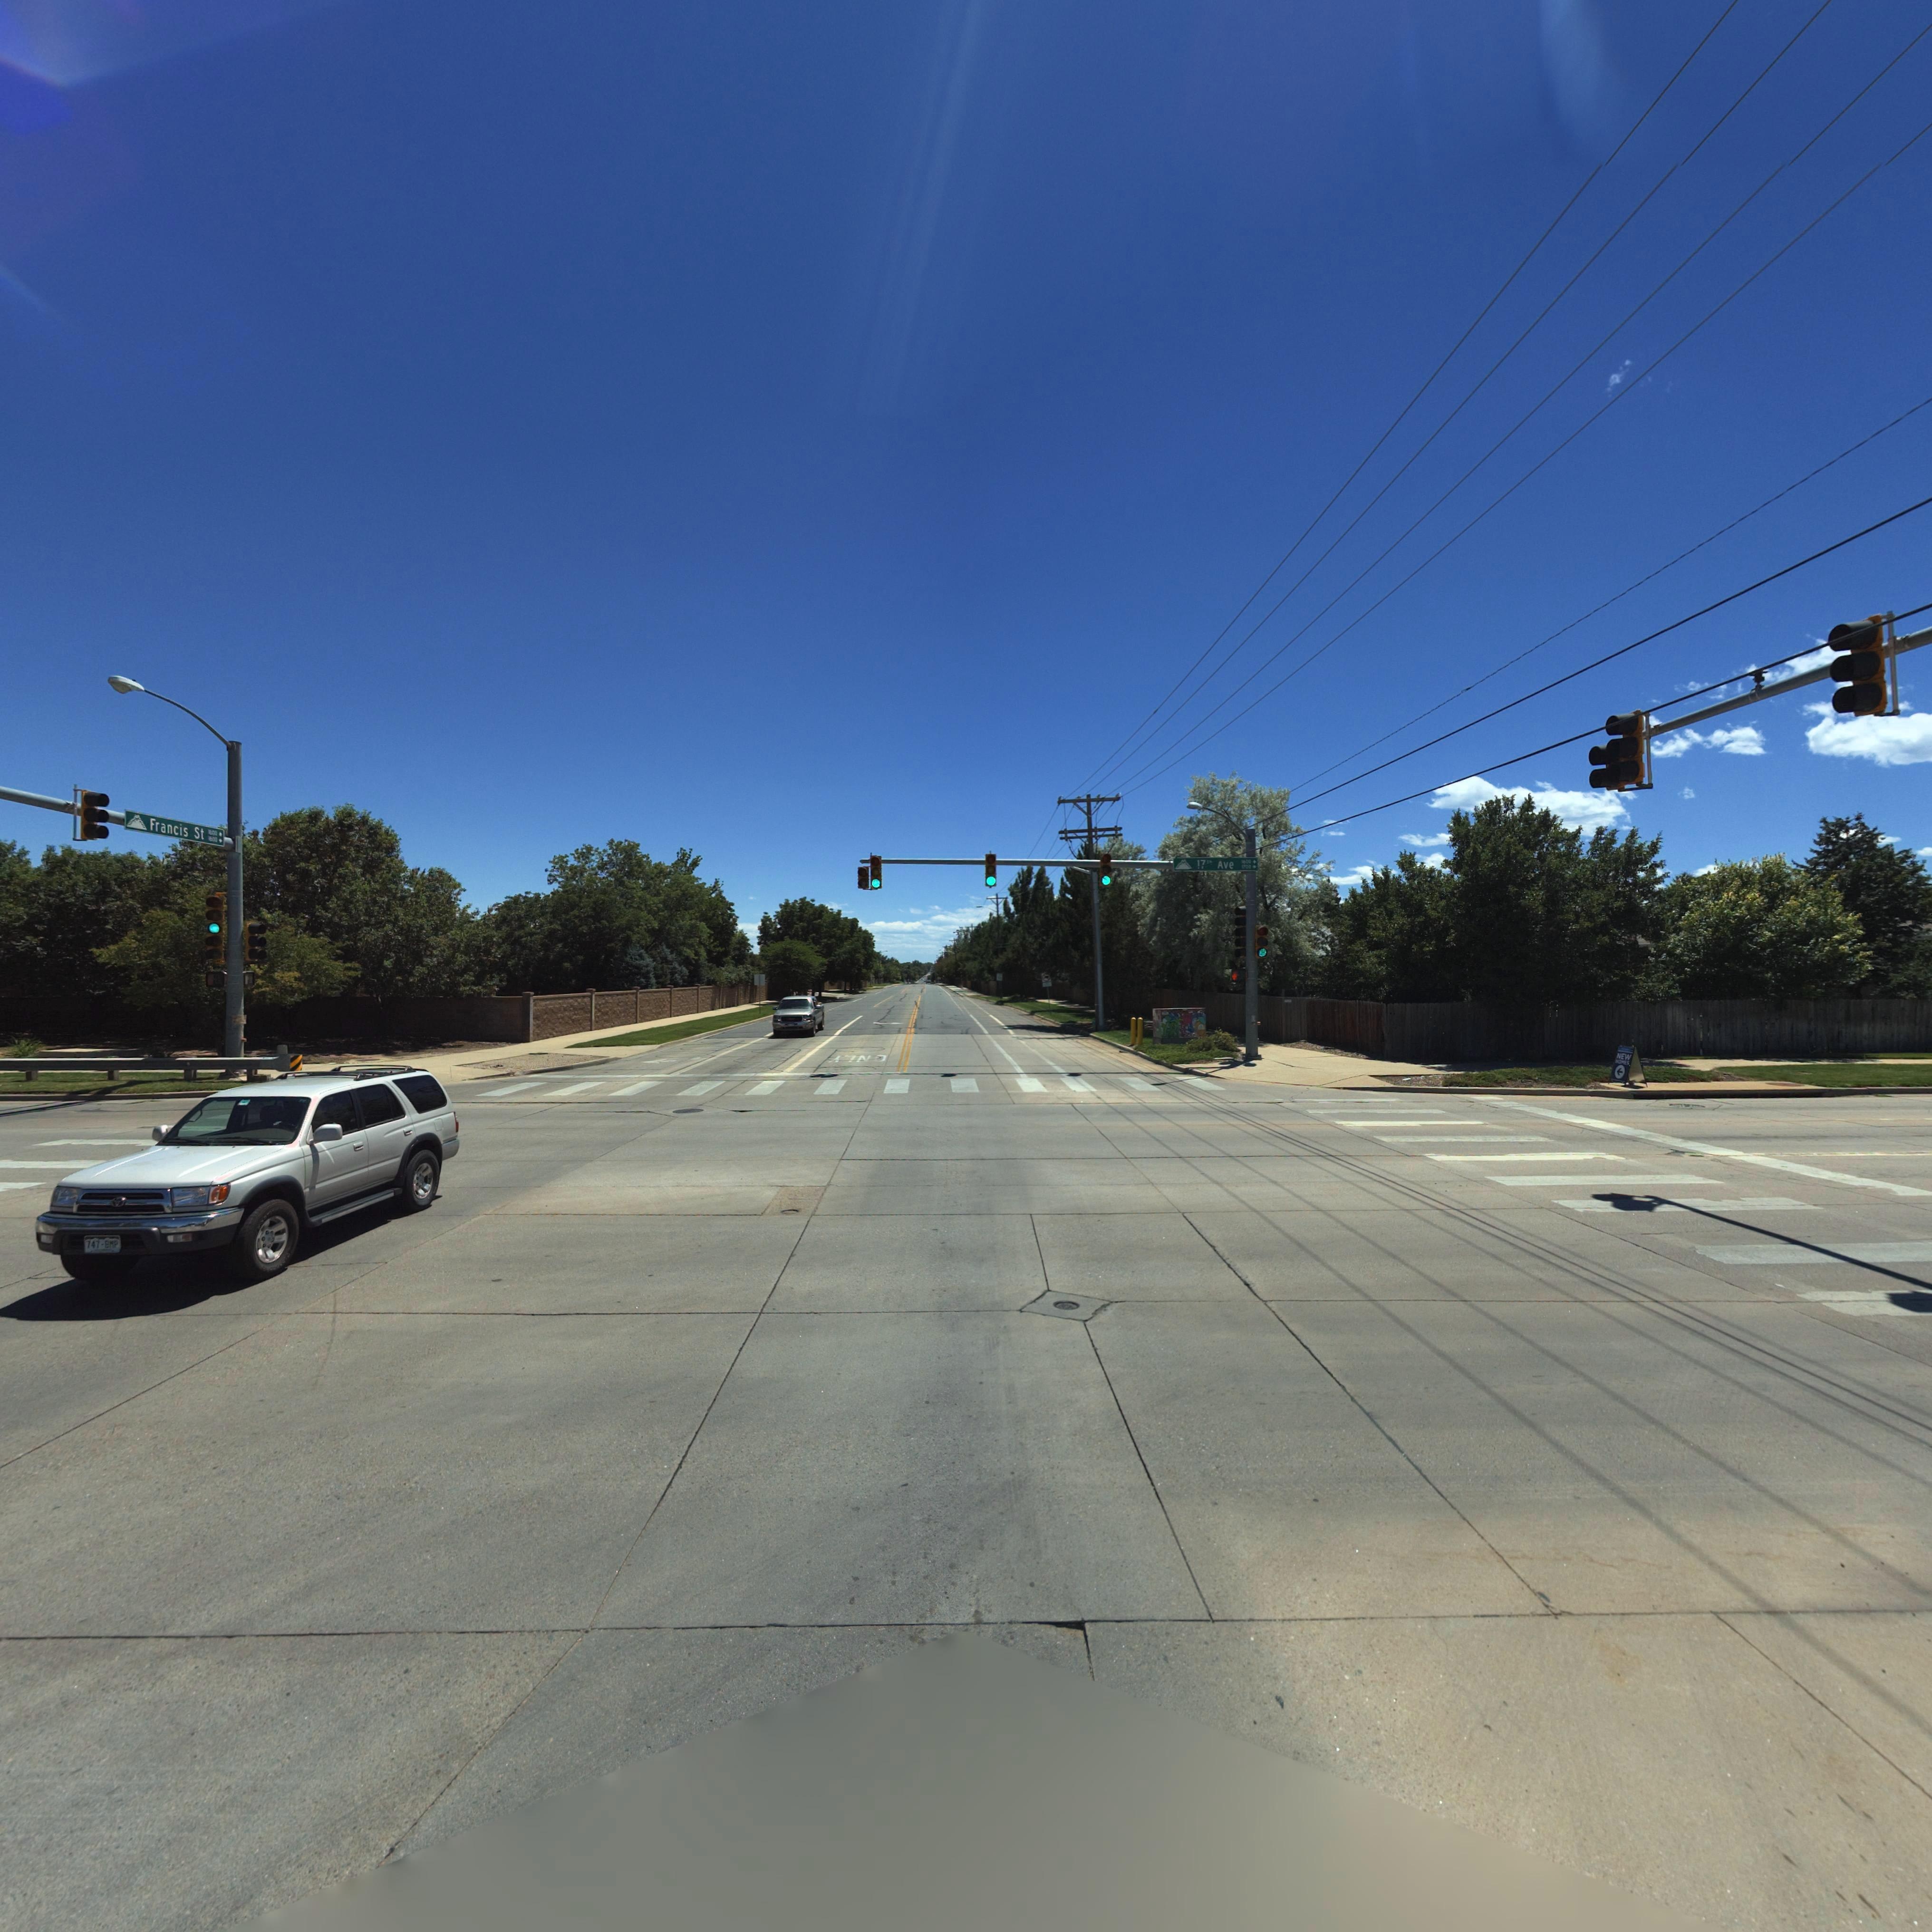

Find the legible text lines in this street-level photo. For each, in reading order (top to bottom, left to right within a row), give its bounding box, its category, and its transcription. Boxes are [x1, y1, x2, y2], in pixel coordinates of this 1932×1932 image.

[148, 817, 204, 840] StreetName: Francis St
[207, 835, 223, 843] StreetNumberRange: 1600 ->
[1196, 859, 1234, 869] StreetName: 17th Ave
[1240, 859, 1251, 864] StreetNumberRange: 1600
[1241, 864, 1257, 869] StreetNumberRange: 1700 ->